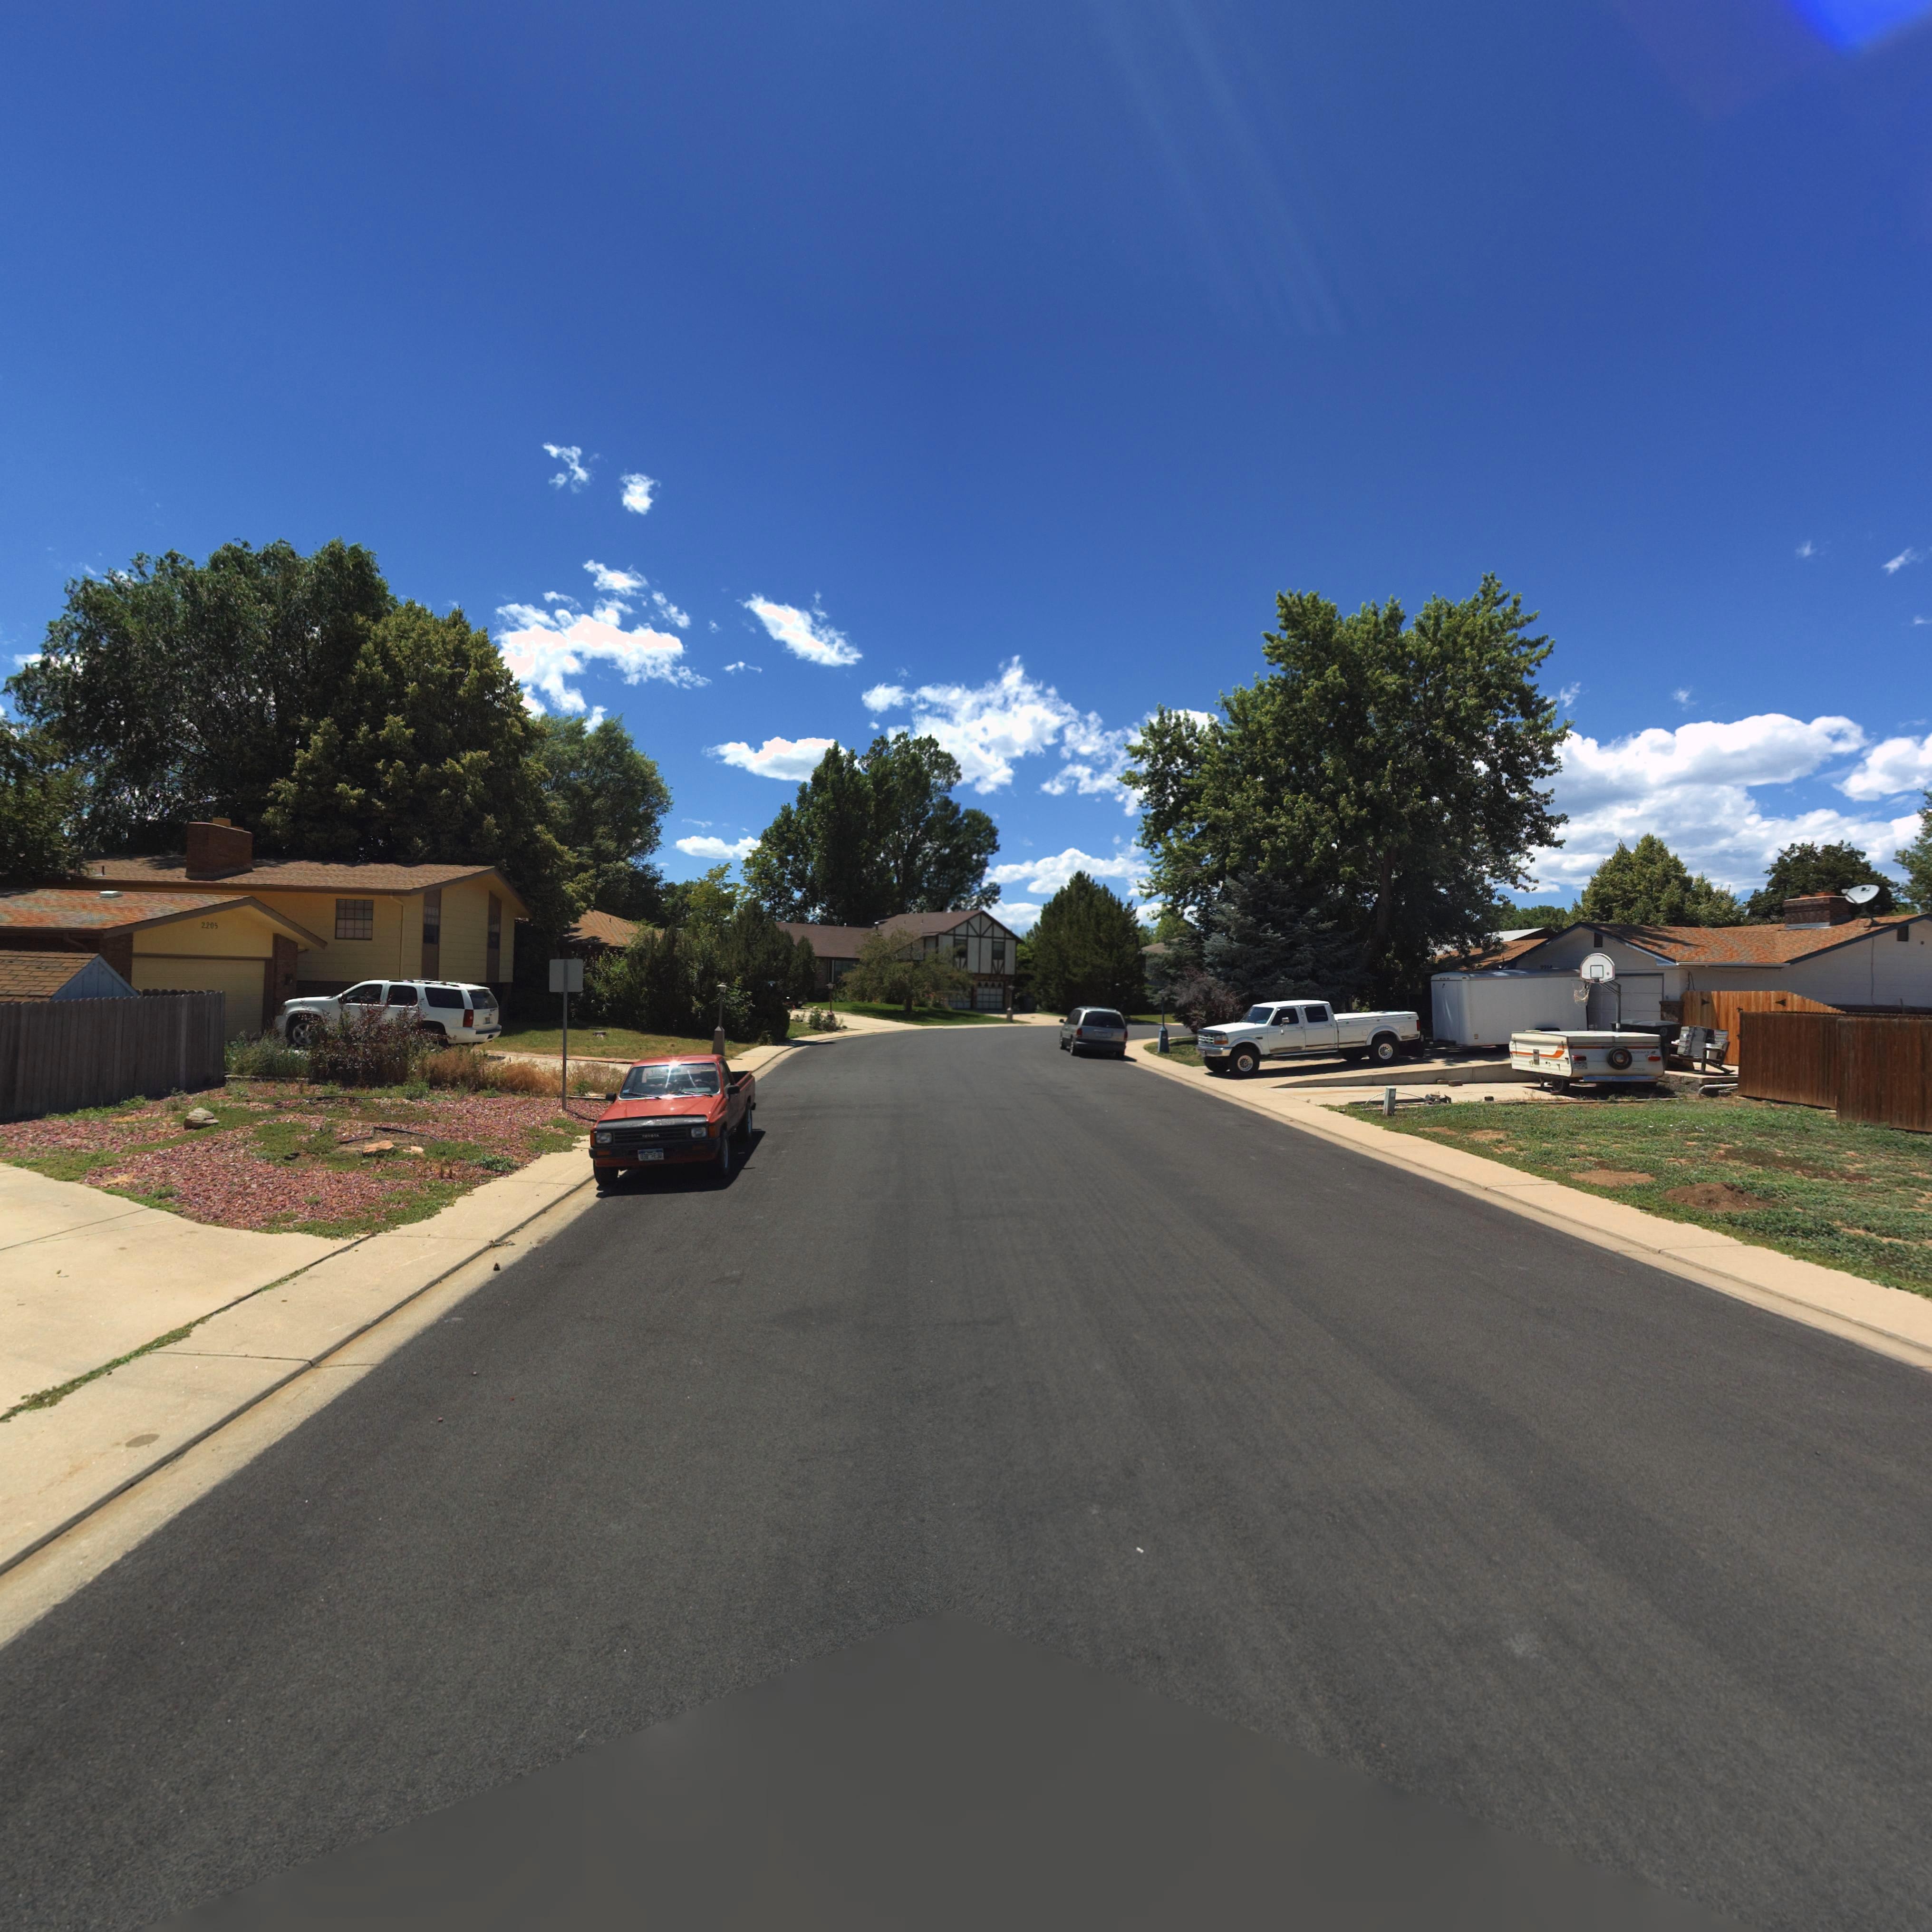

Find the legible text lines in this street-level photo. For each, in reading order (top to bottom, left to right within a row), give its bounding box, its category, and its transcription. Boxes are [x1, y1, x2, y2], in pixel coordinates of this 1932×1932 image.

[201, 921, 219, 929] StreetNumber: 2205